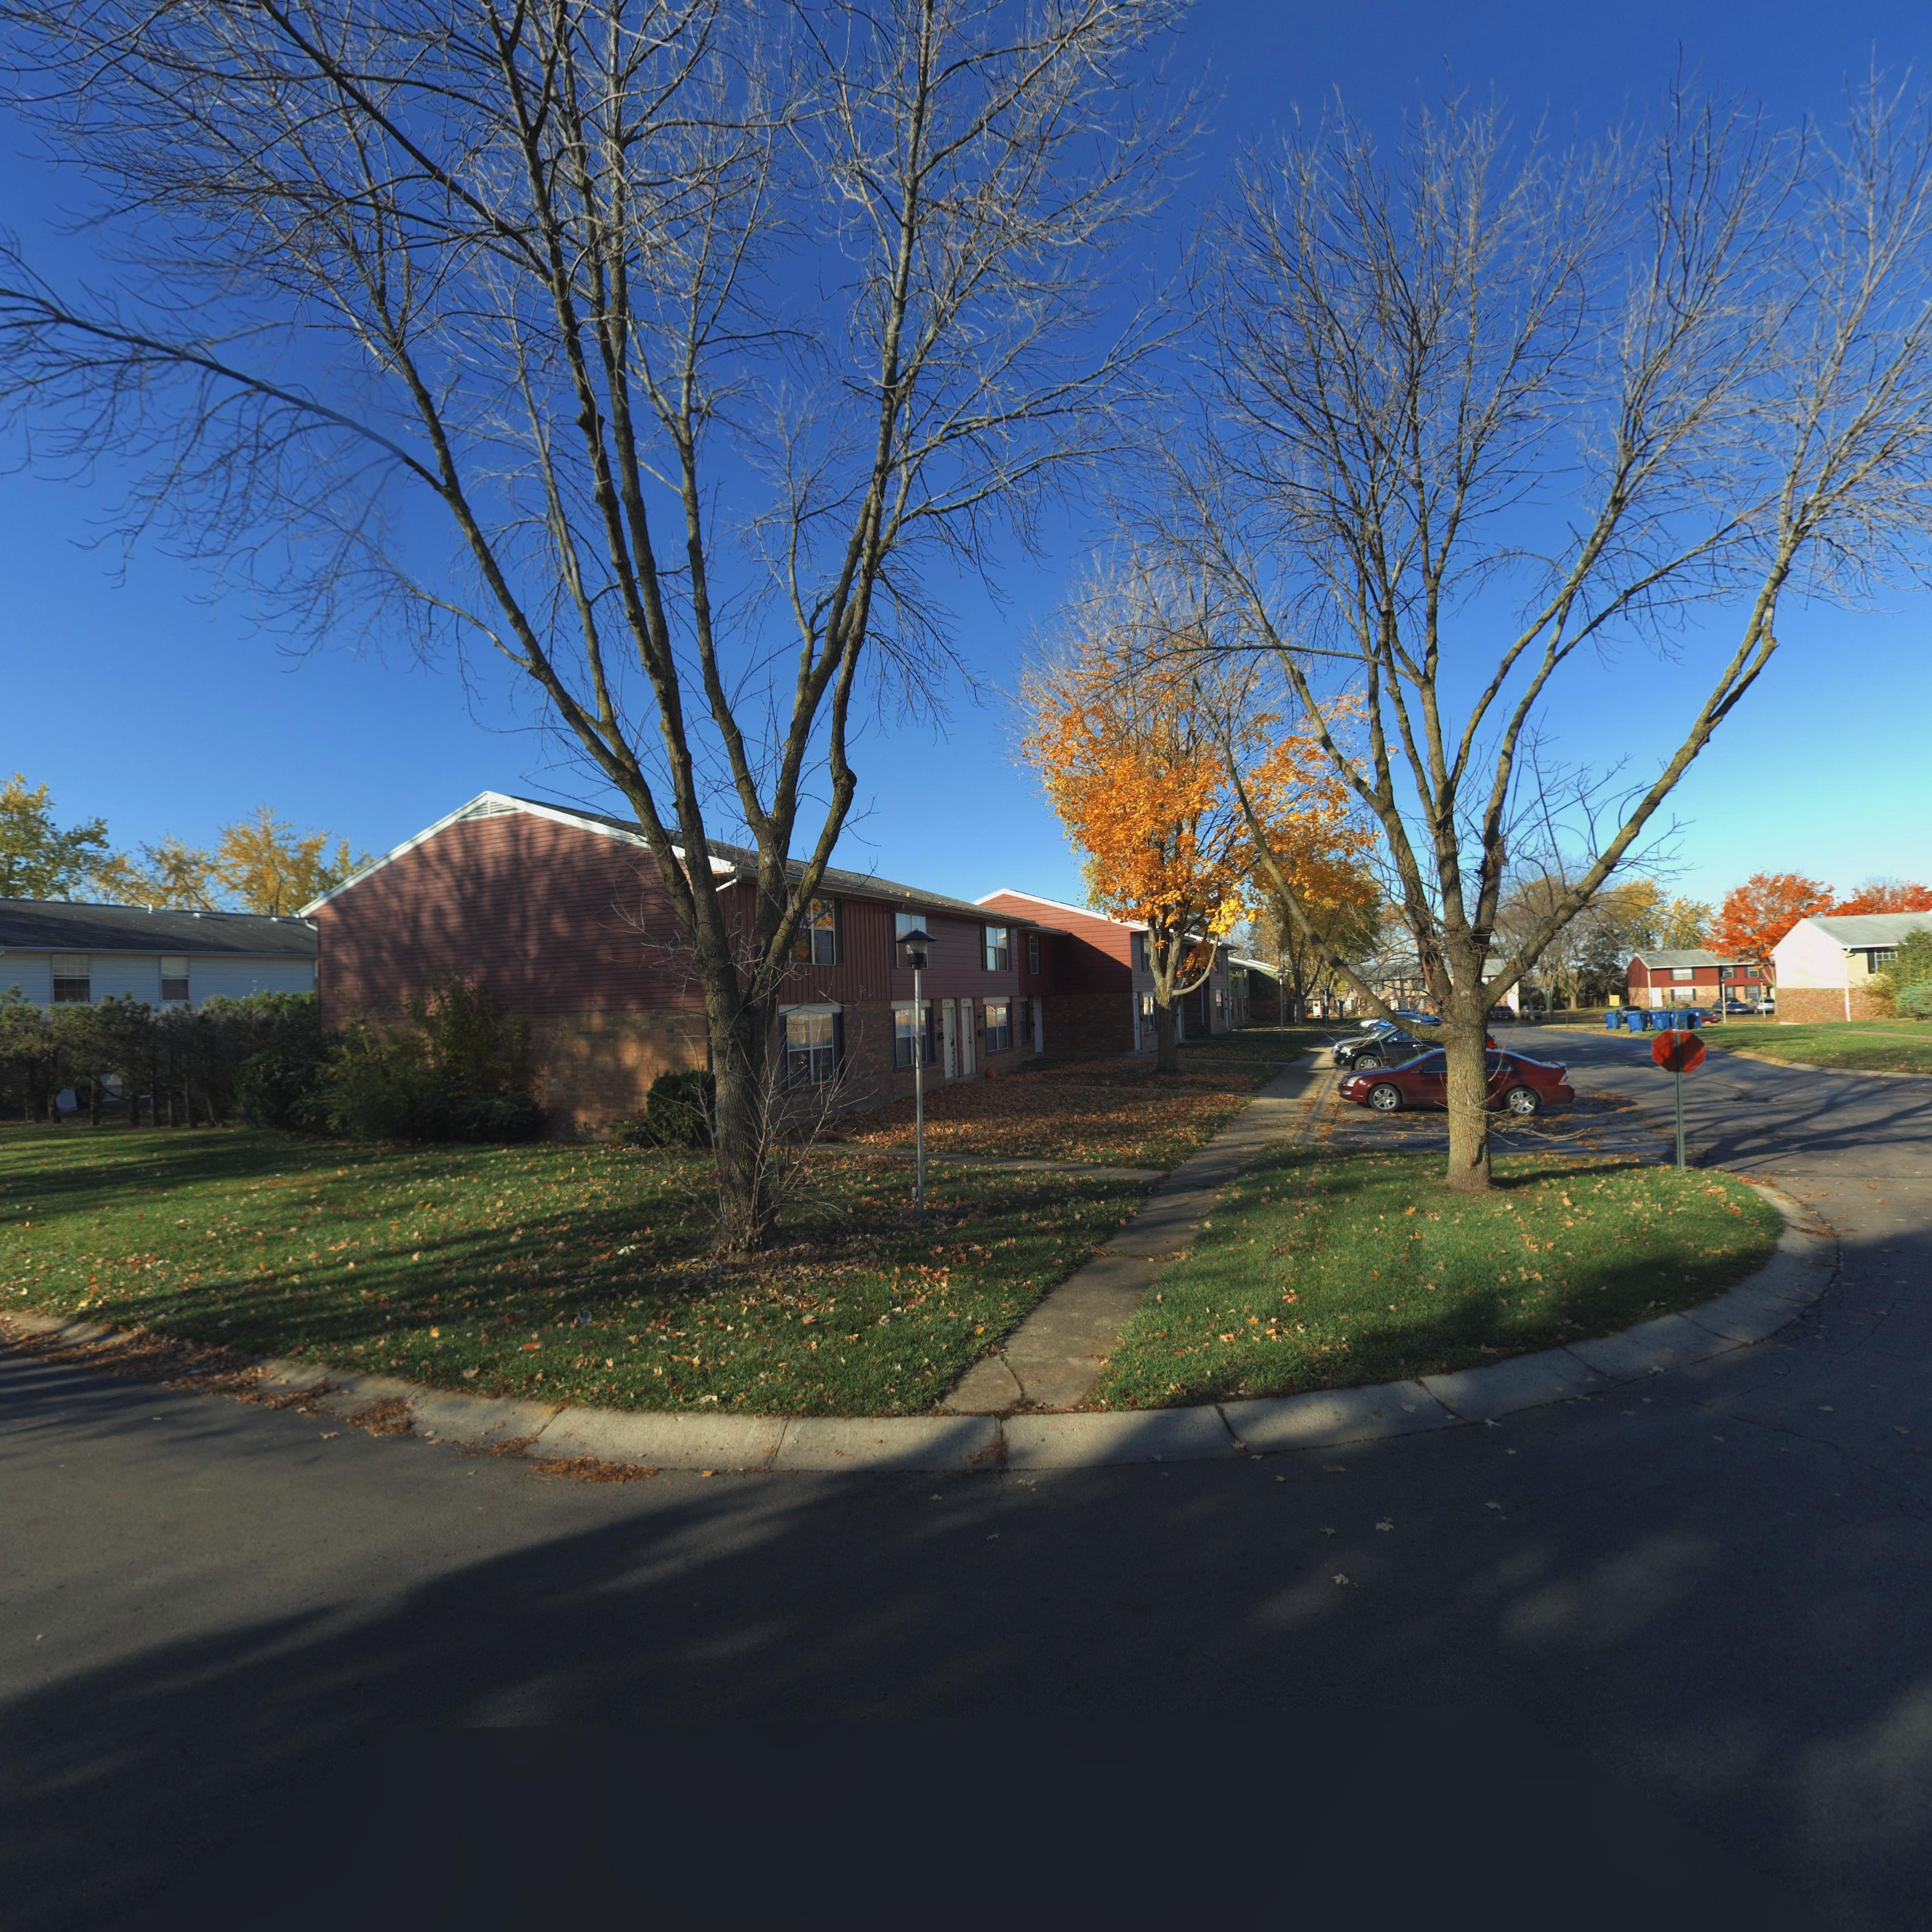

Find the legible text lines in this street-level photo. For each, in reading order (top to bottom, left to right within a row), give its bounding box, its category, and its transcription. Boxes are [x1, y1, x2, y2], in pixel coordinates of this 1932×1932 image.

[943, 1001, 950, 1006] StreetNumber: 8191
[962, 1000, 968, 1005] StreetNumber: 8193